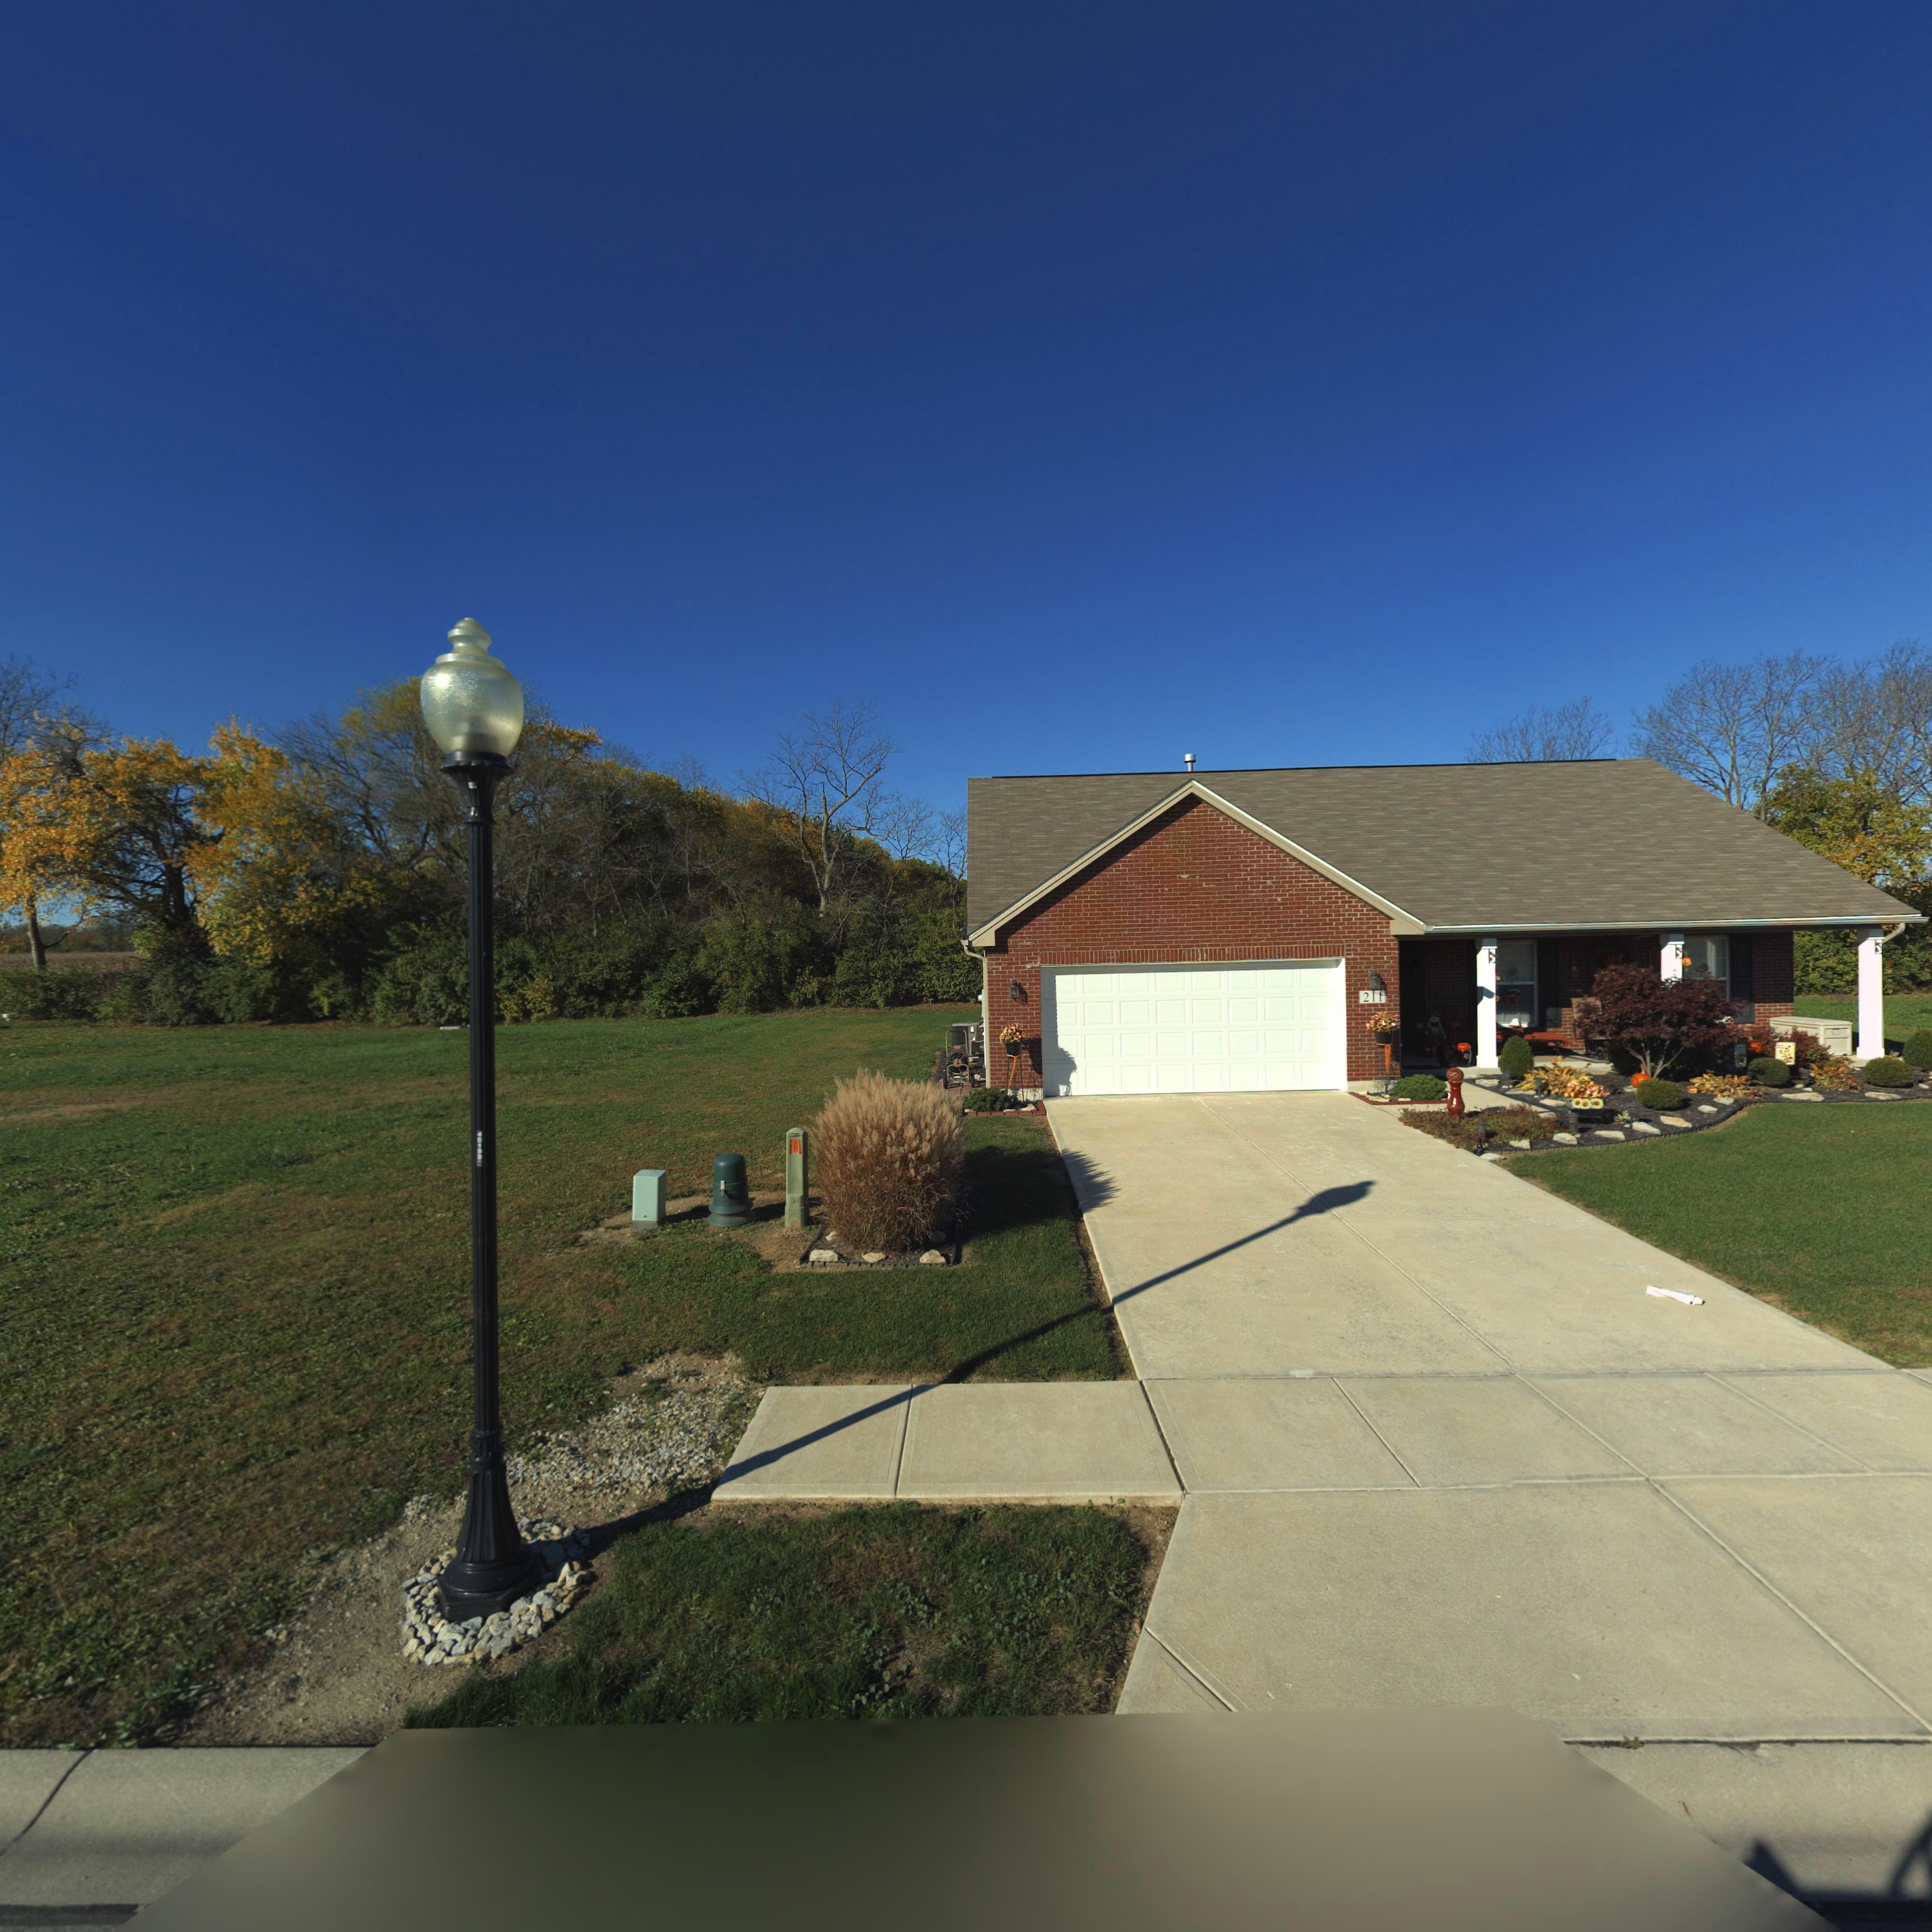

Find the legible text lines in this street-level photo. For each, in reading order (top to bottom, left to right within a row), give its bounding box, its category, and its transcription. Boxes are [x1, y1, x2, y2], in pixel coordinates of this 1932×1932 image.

[1362, 991, 1383, 1003] StreetNumber: 211